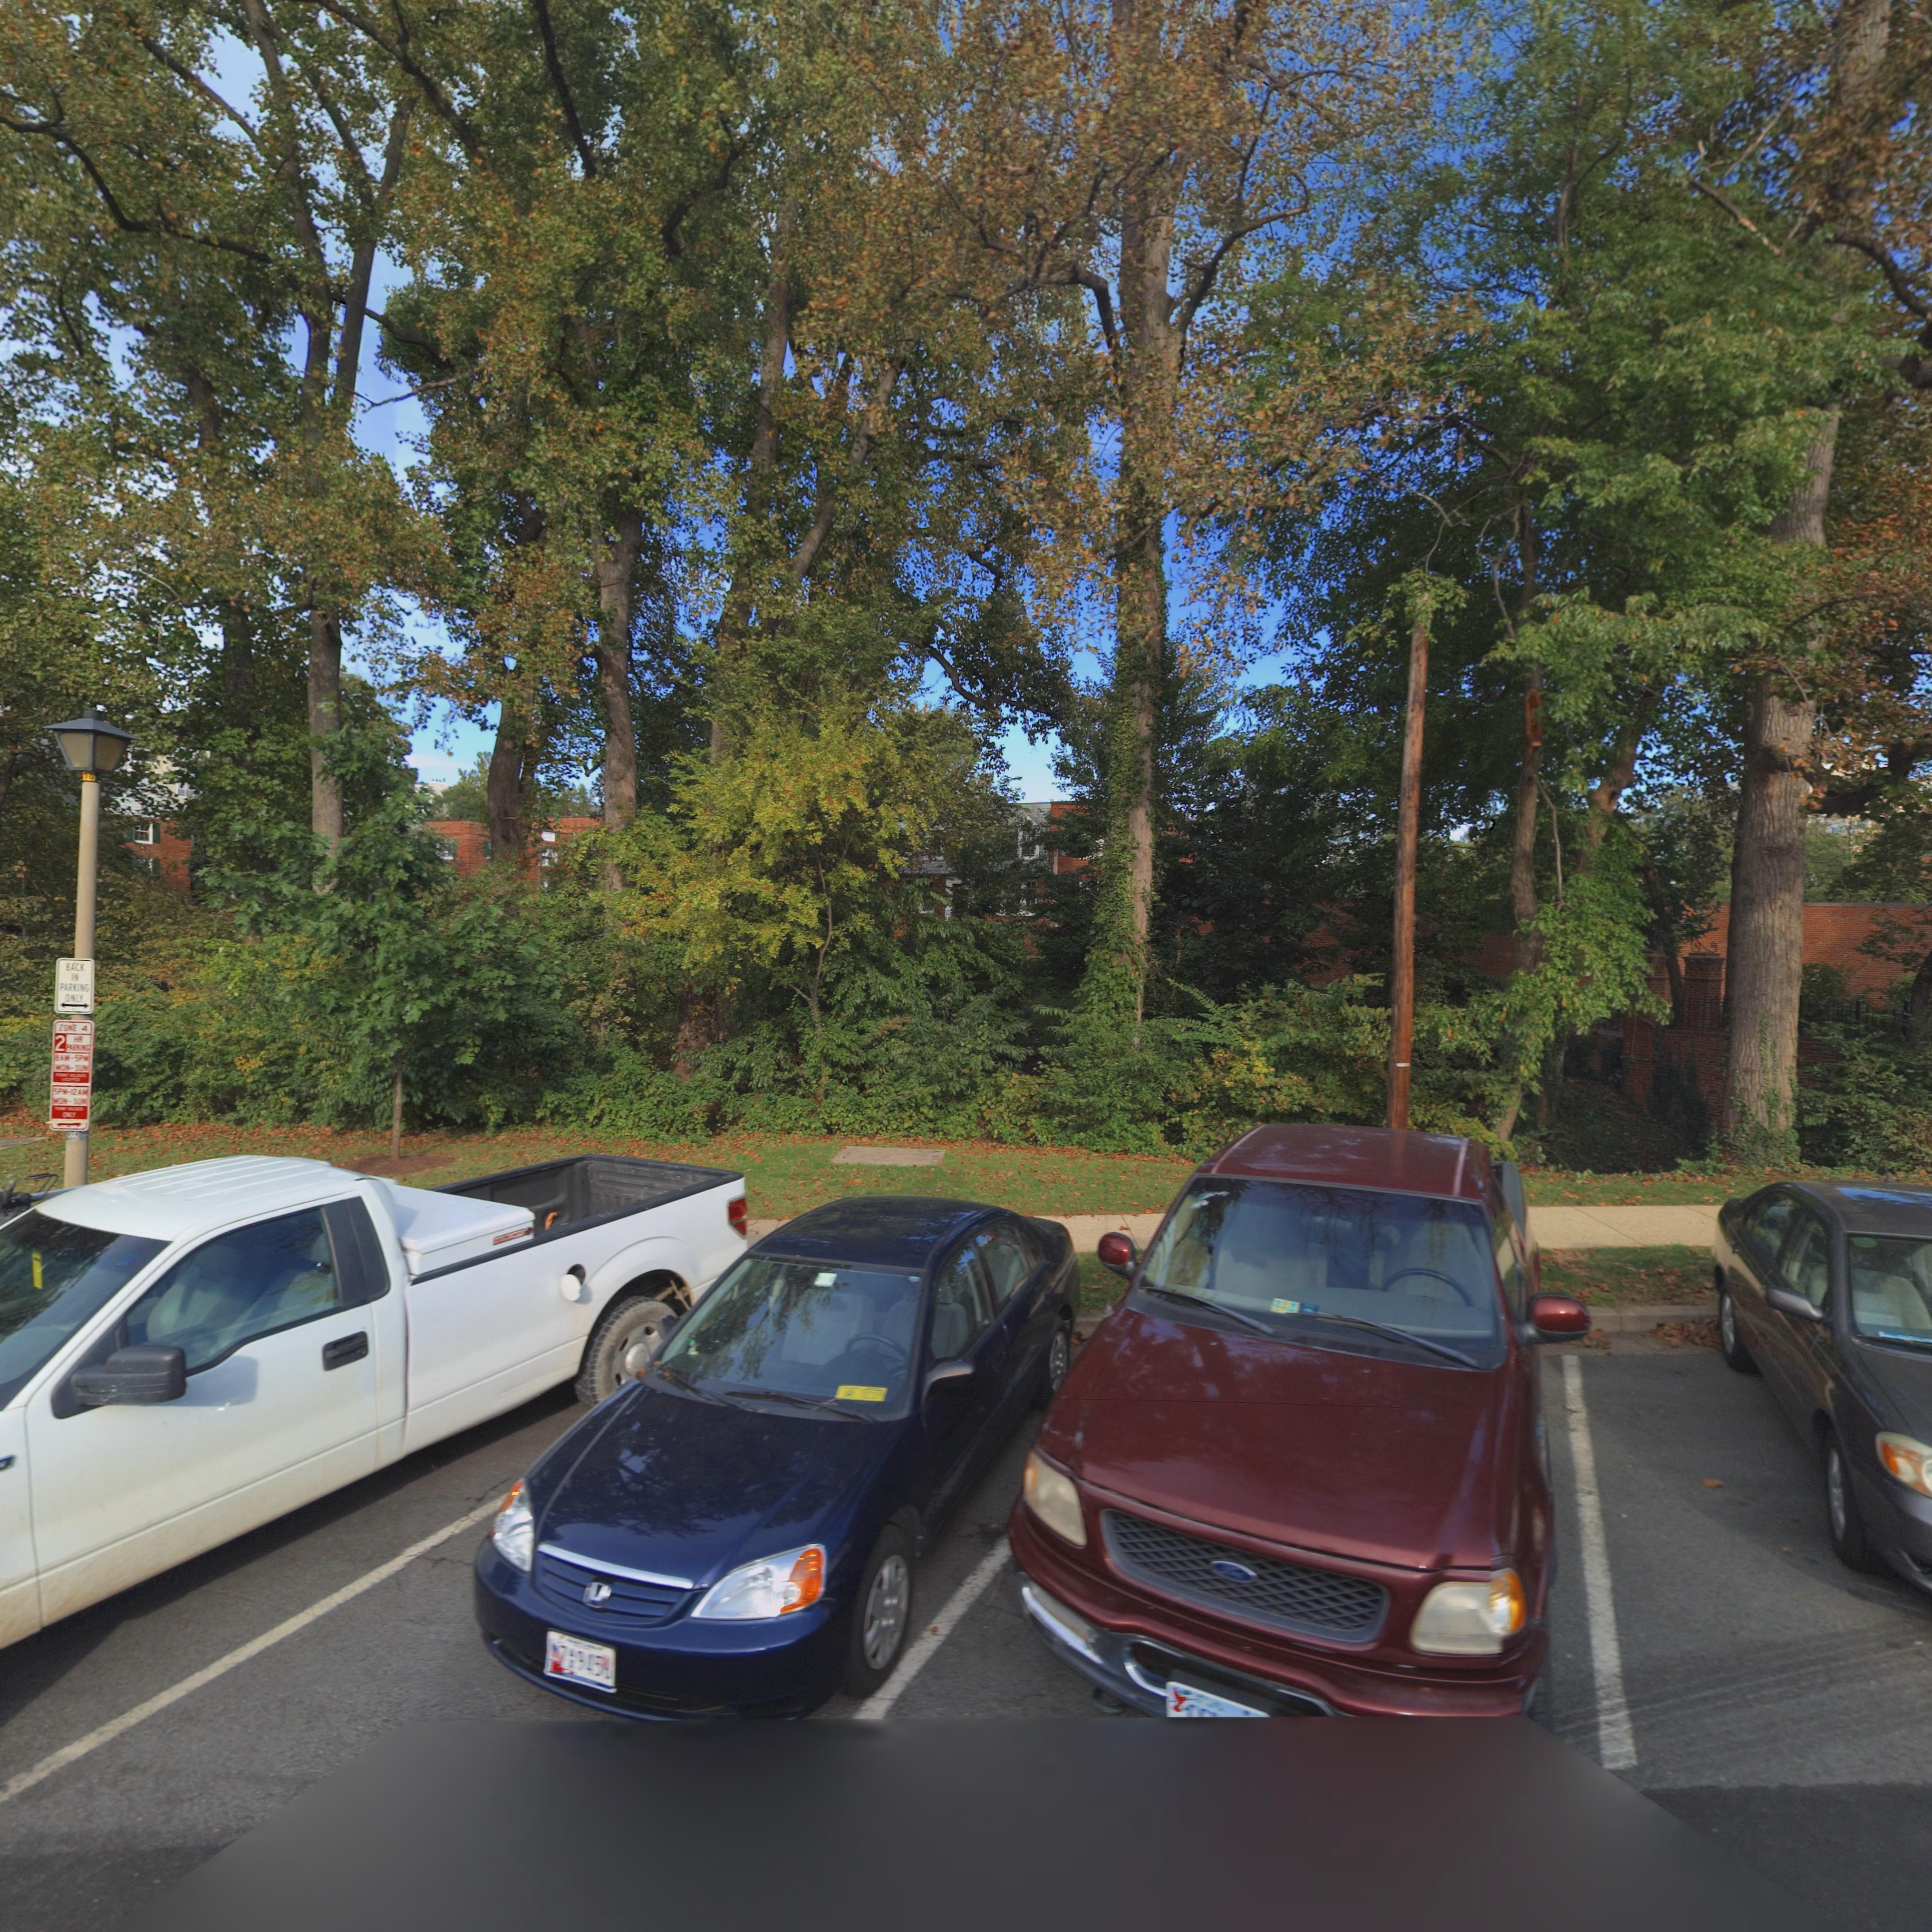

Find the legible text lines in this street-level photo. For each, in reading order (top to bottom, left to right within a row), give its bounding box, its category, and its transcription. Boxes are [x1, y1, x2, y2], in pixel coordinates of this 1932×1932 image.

[66, 962, 85, 972] None: BACK
[70, 973, 79, 982] None: IN
[59, 982, 90, 992] None: PARKING
[65, 993, 85, 1003] None: ONLY
[58, 1023, 87, 1032] None: ZONE 4
[54, 1034, 66, 1053] None: 2
[66, 1043, 91, 1052] None: PA***NG
[73, 1035, 84, 1043] None: HR
[54, 1054, 89, 1062] None: 8AM-5PM
[55, 1064, 89, 1072] None: MON-SUN
[52, 1088, 89, 1096] None: 5PM-12AM
[52, 1097, 87, 1105] None: MON-SUN
[62, 1111, 77, 1118] None: ONLY
[575, 1650, 605, 1679] None: 945